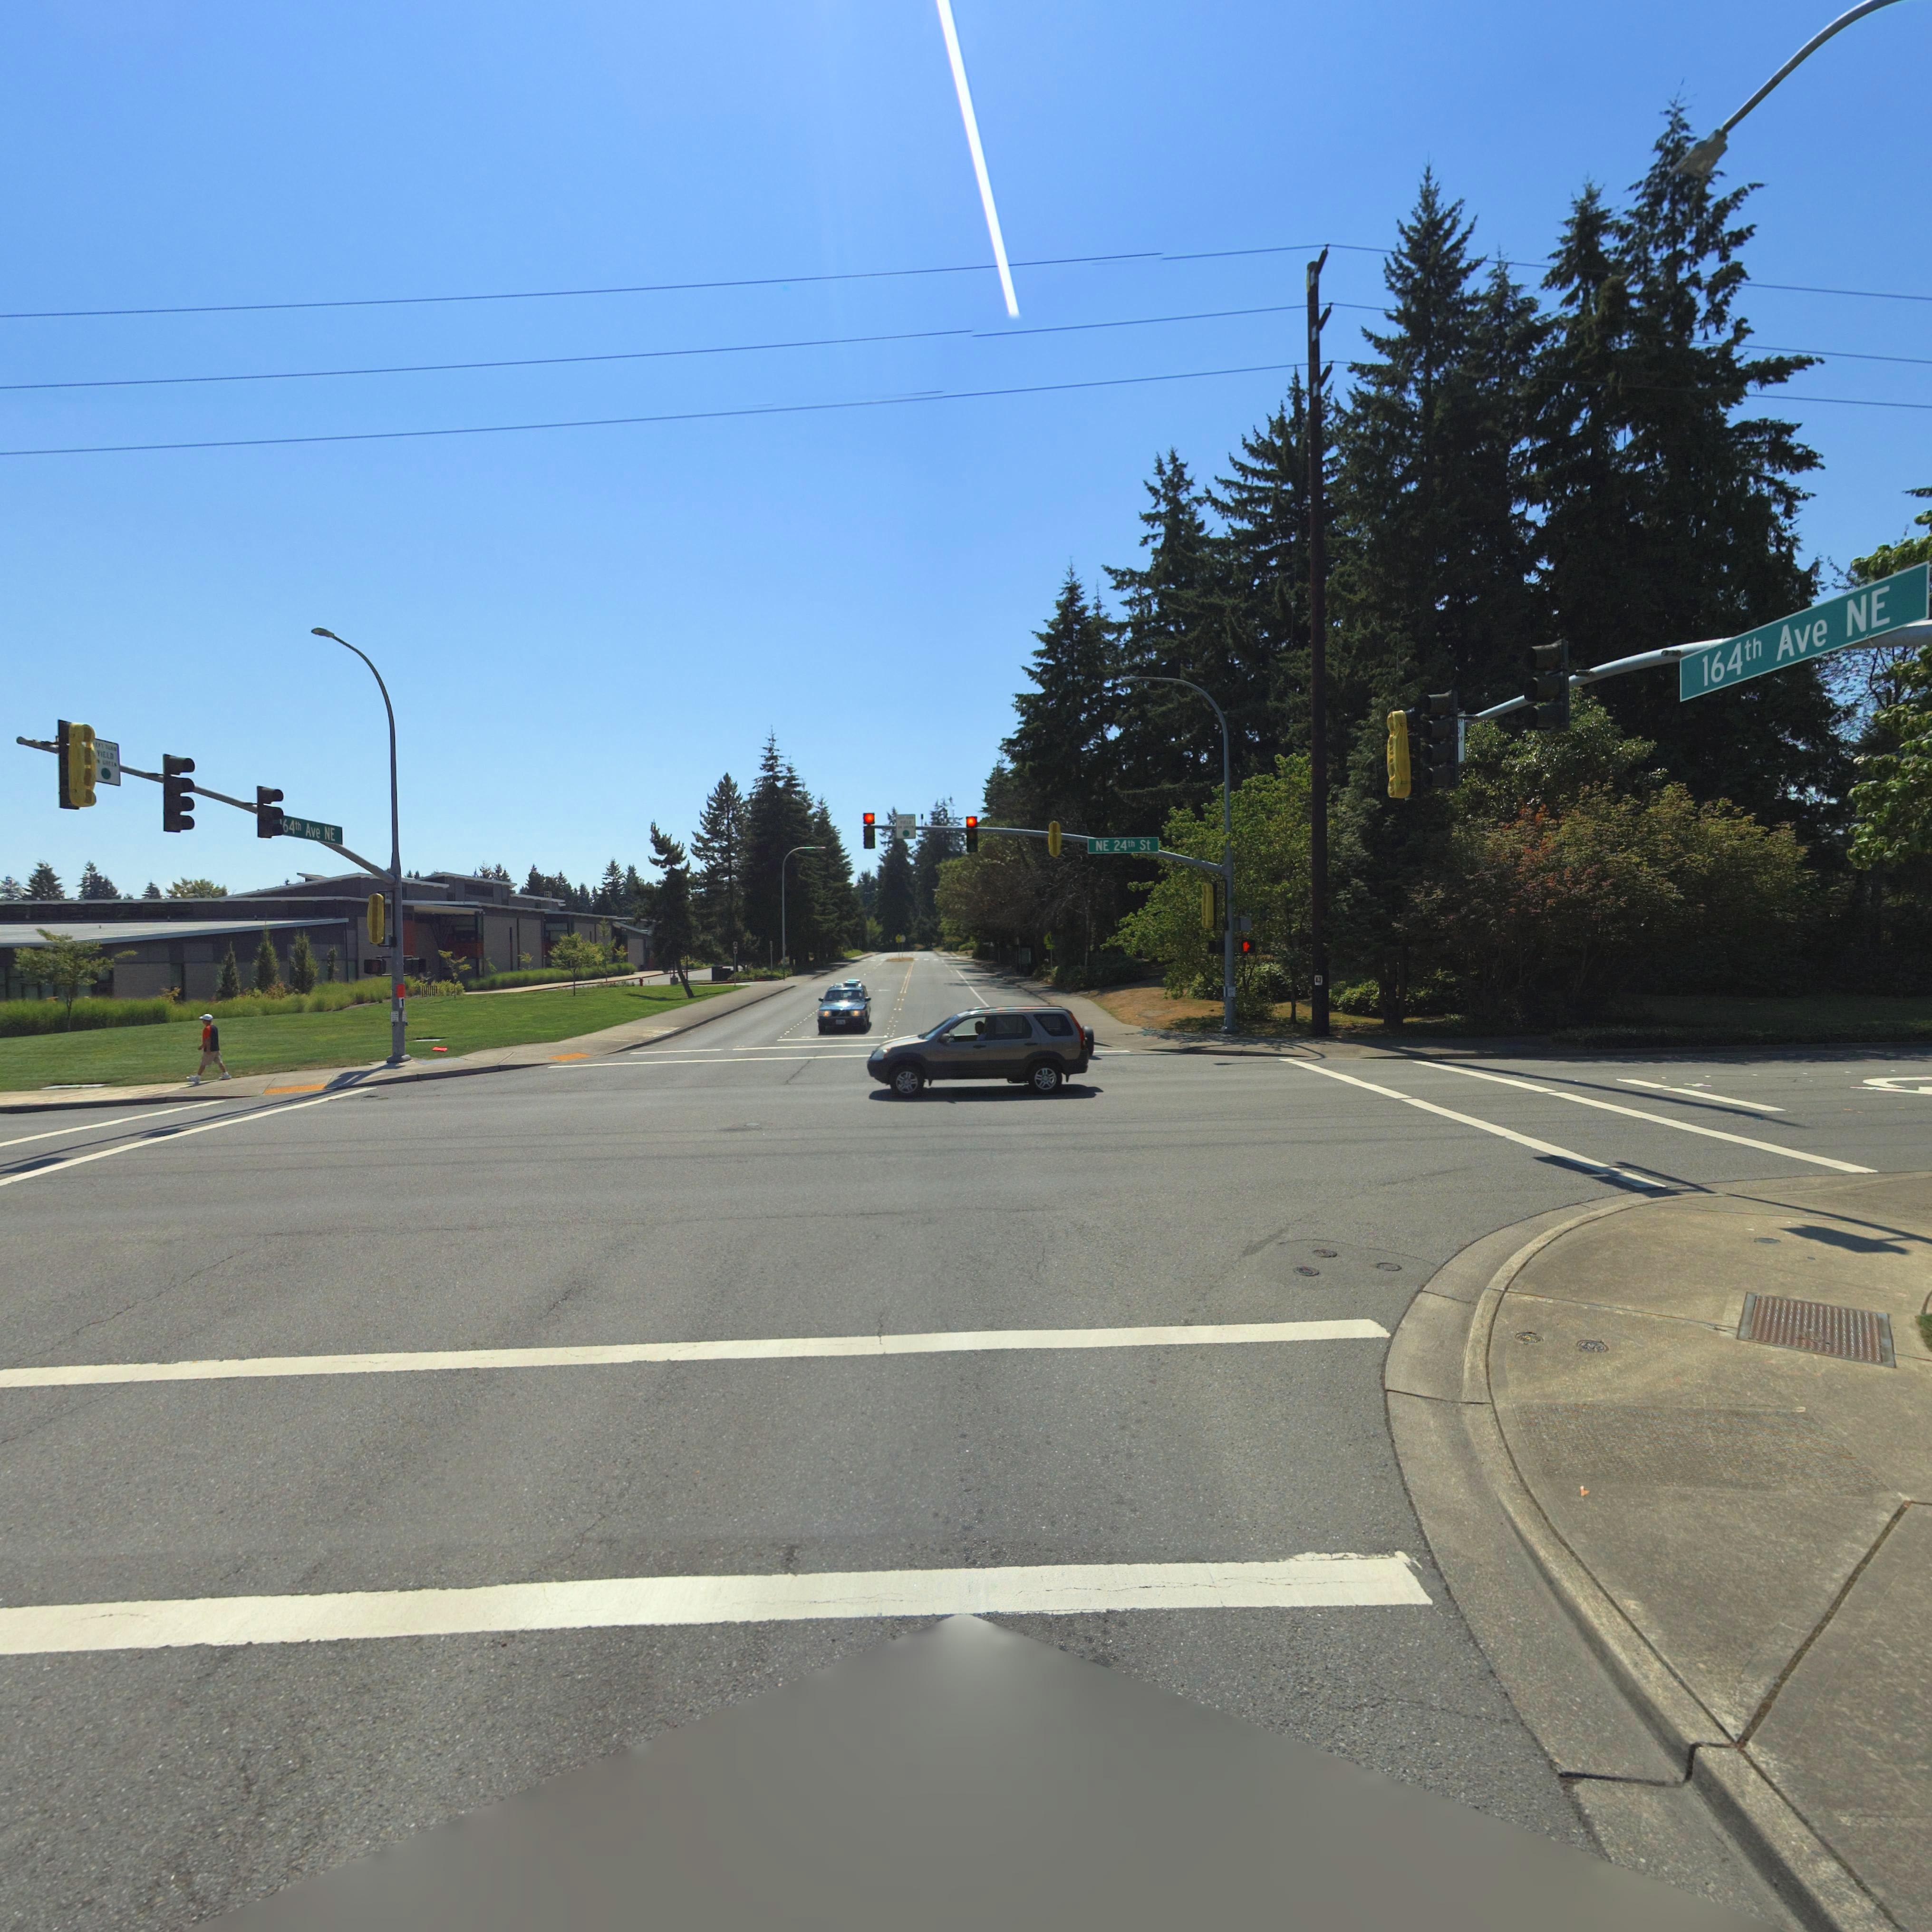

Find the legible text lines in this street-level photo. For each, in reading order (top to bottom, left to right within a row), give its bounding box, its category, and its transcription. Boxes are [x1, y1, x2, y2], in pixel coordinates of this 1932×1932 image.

[1702, 585, 1890, 686] StreetName: 164 th Ave NE
[279, 818, 335, 841] StreetName: *64h Ave NE
[1096, 840, 1150, 851] StreetName: NE 24th St